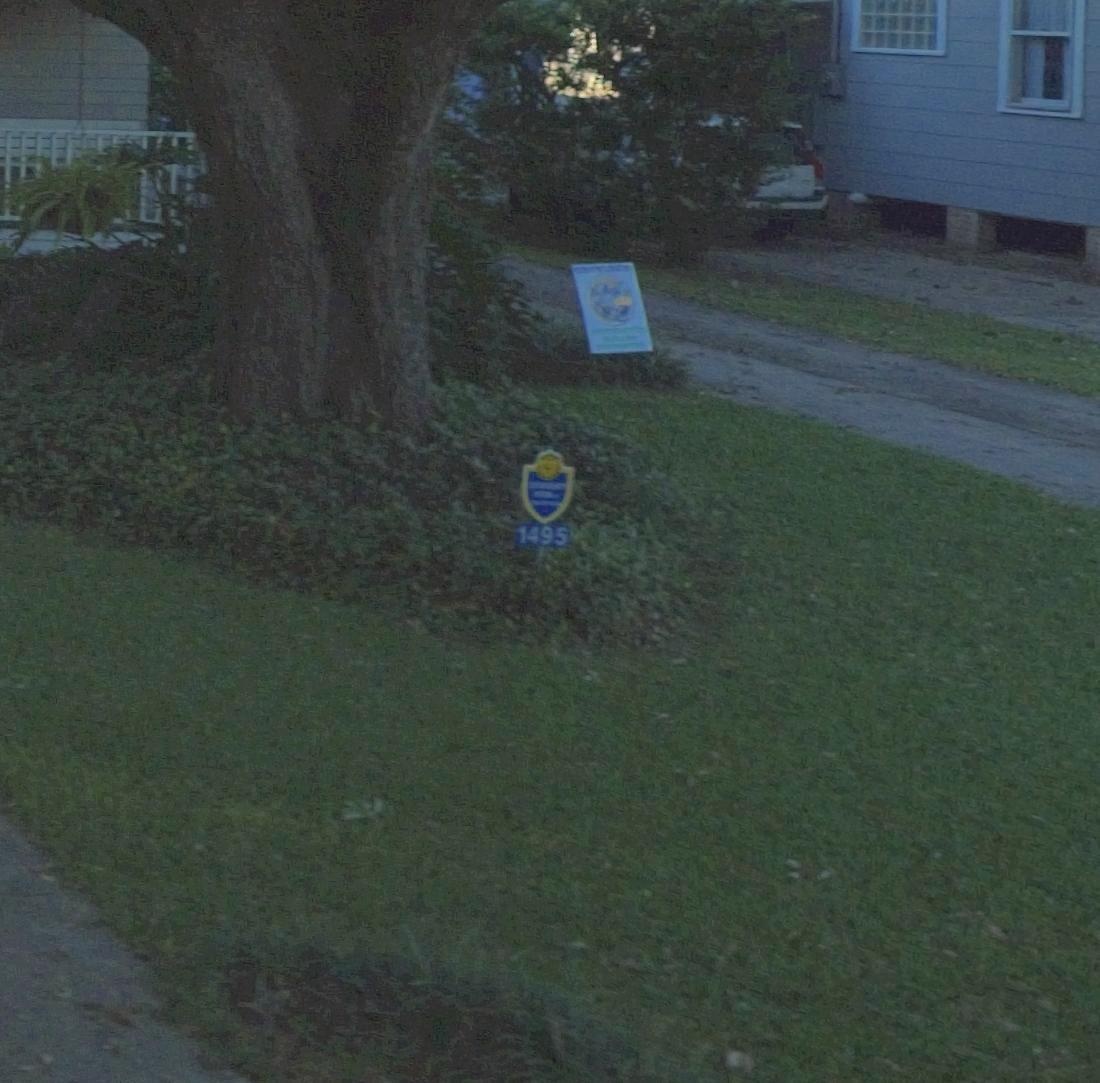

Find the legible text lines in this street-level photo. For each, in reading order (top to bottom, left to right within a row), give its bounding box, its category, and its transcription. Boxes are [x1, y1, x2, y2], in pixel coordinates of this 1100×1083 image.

[516, 524, 569, 547] StreetNumber: 1495